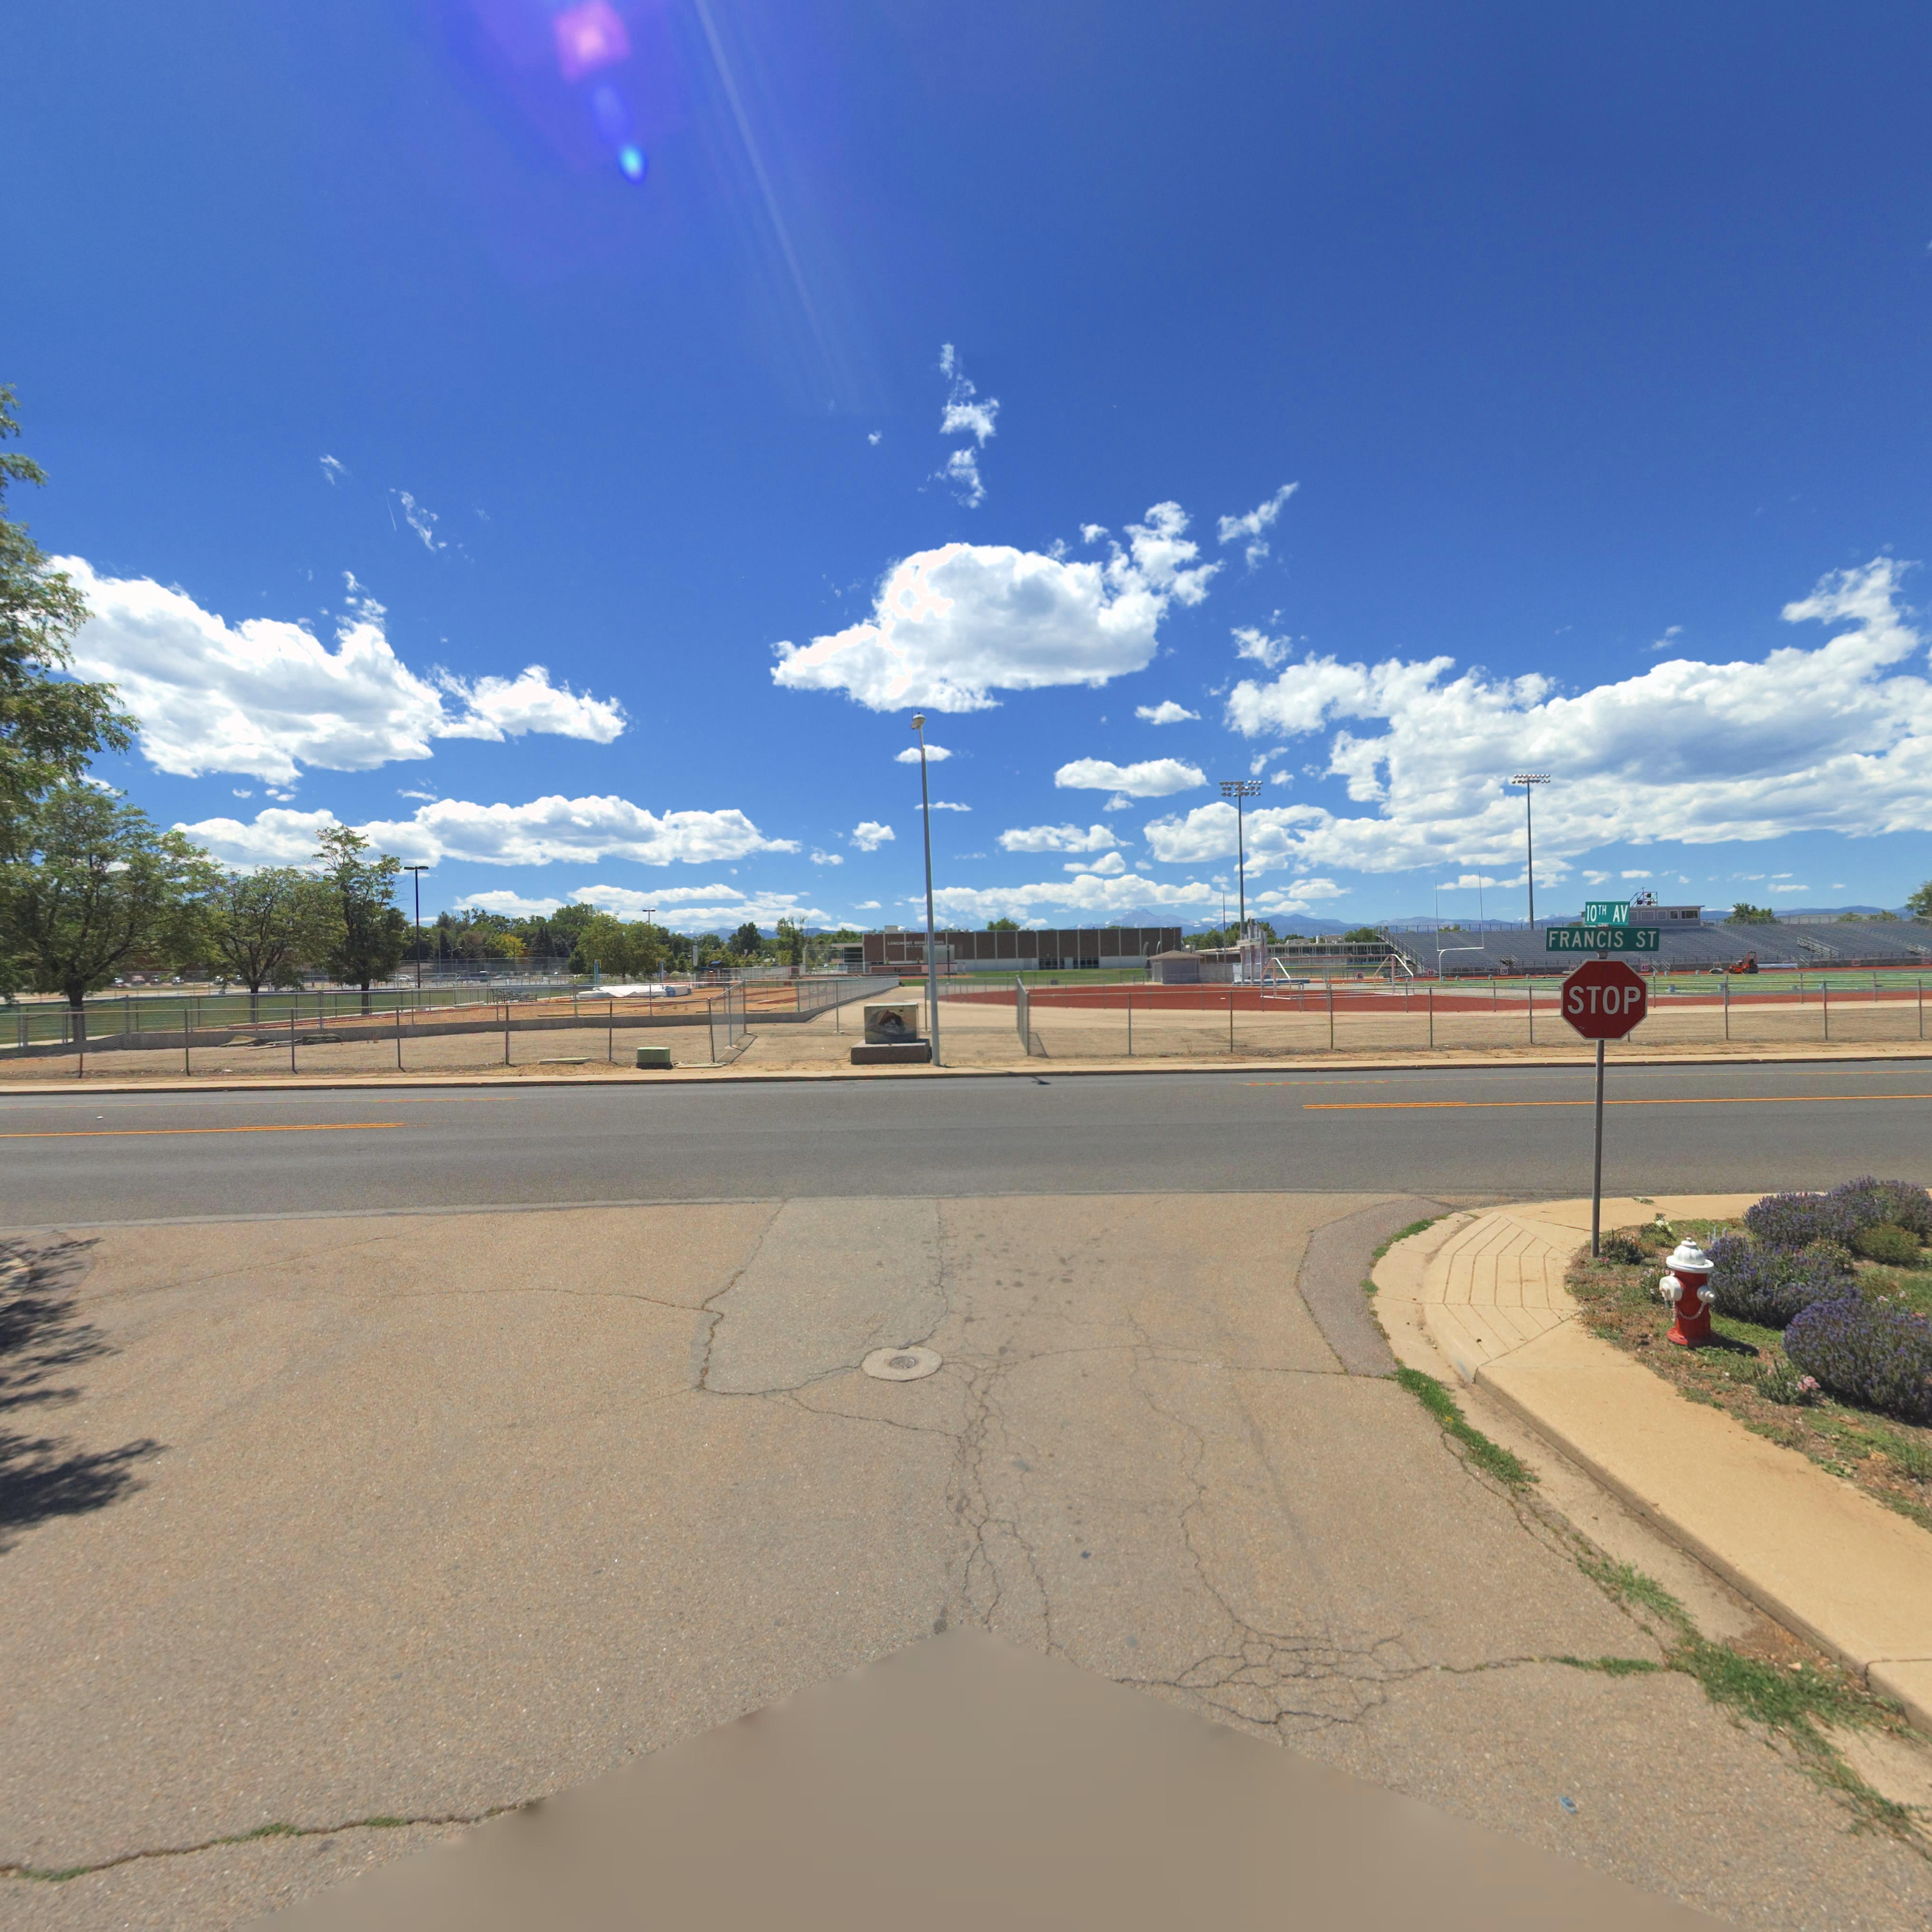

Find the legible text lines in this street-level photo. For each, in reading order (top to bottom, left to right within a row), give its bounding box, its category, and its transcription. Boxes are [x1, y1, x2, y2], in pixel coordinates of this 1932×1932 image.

[1586, 904, 1628, 923] StreetName: 10TH AV
[887, 940, 944, 945] BusinessName: LONGM*NT HIGH ***OOL
[1548, 930, 1657, 947] StreetName: FRANCIS ST